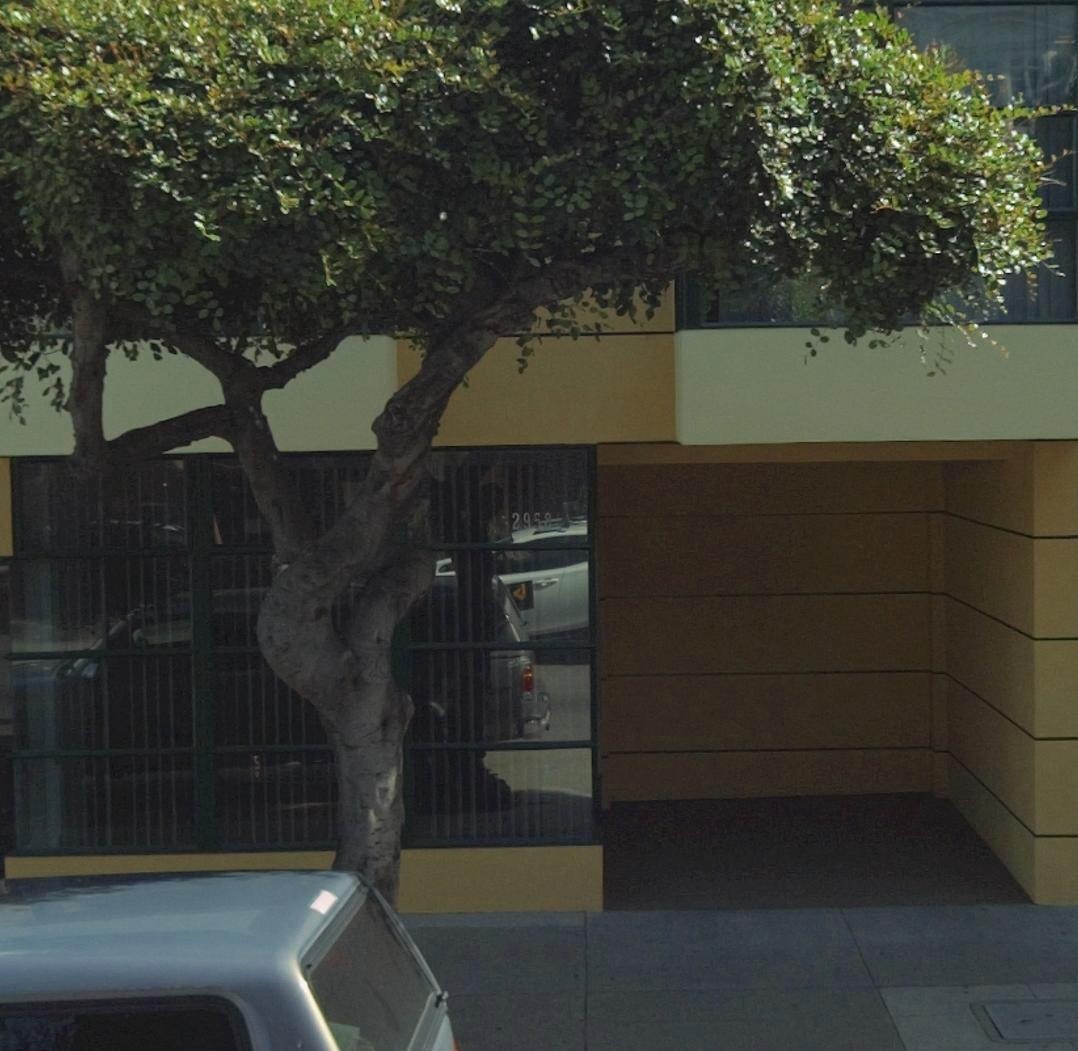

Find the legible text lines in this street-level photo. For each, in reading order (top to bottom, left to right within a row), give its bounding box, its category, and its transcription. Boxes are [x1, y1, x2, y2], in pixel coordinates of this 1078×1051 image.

[511, 511, 553, 531] StreetNumber: 2958